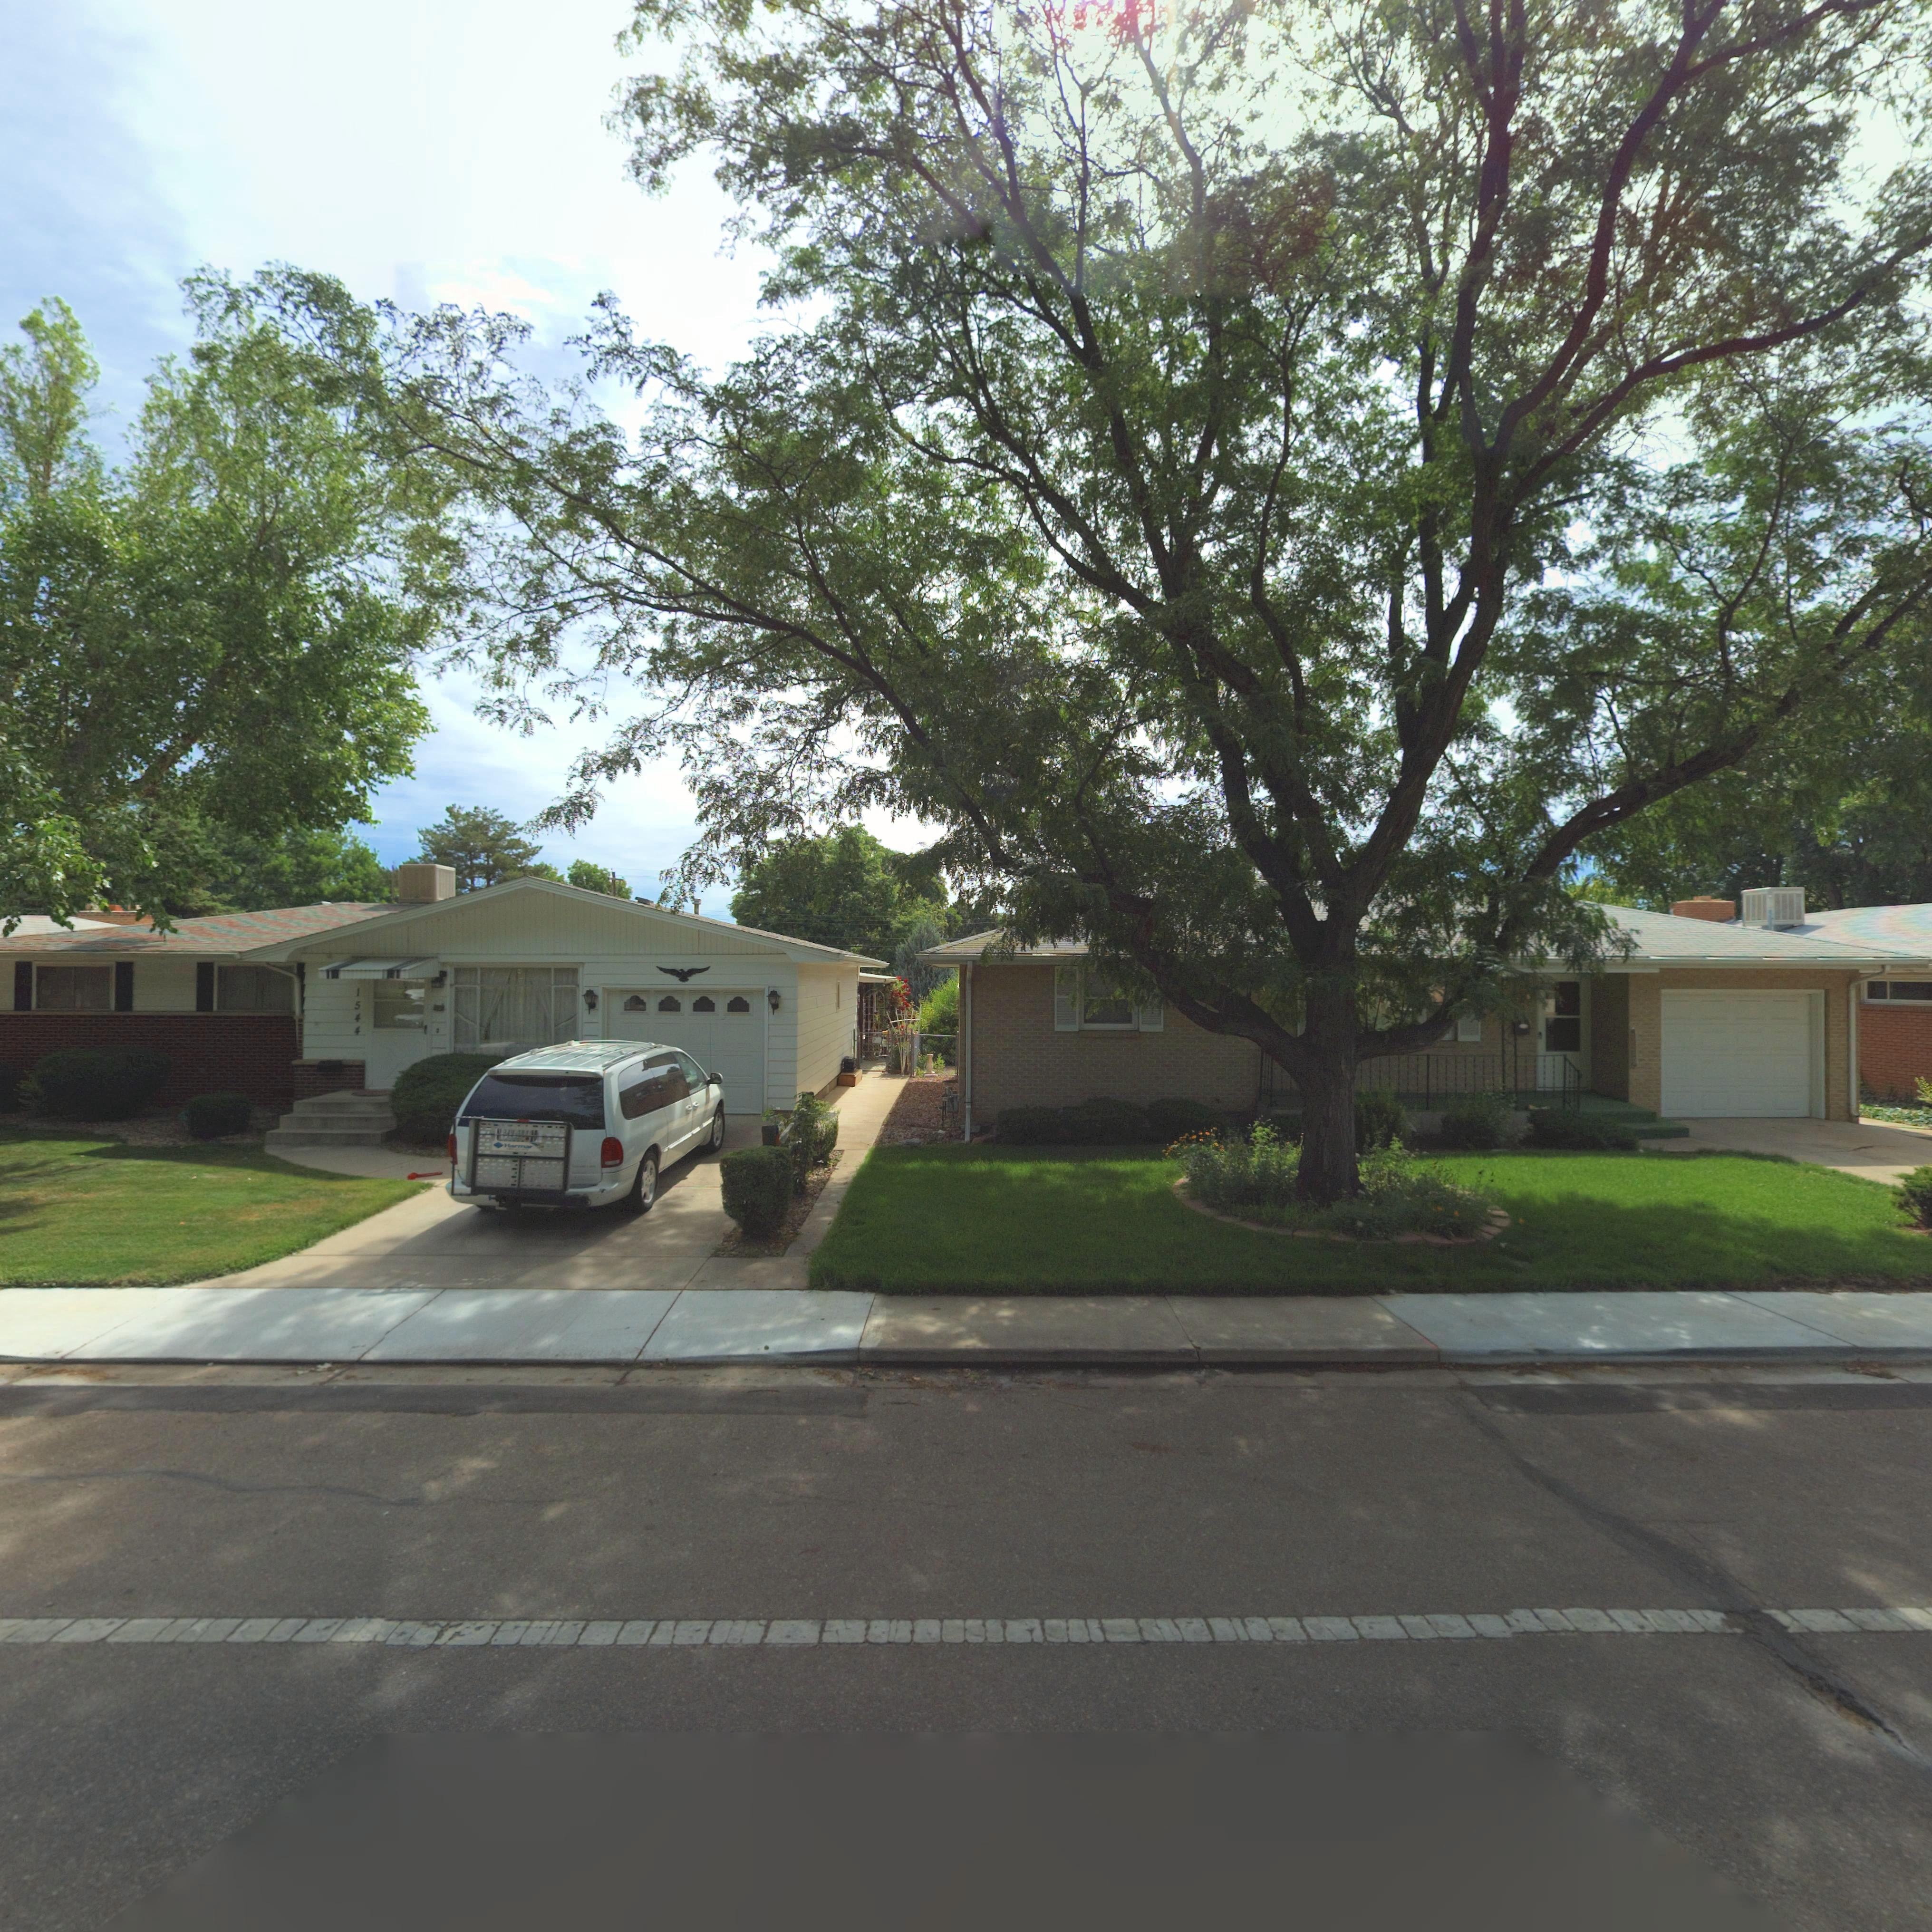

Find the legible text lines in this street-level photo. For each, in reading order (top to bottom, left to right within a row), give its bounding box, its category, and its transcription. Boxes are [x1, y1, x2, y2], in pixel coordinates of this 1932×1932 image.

[353, 985, 361, 1037] StreetNumber: 1544